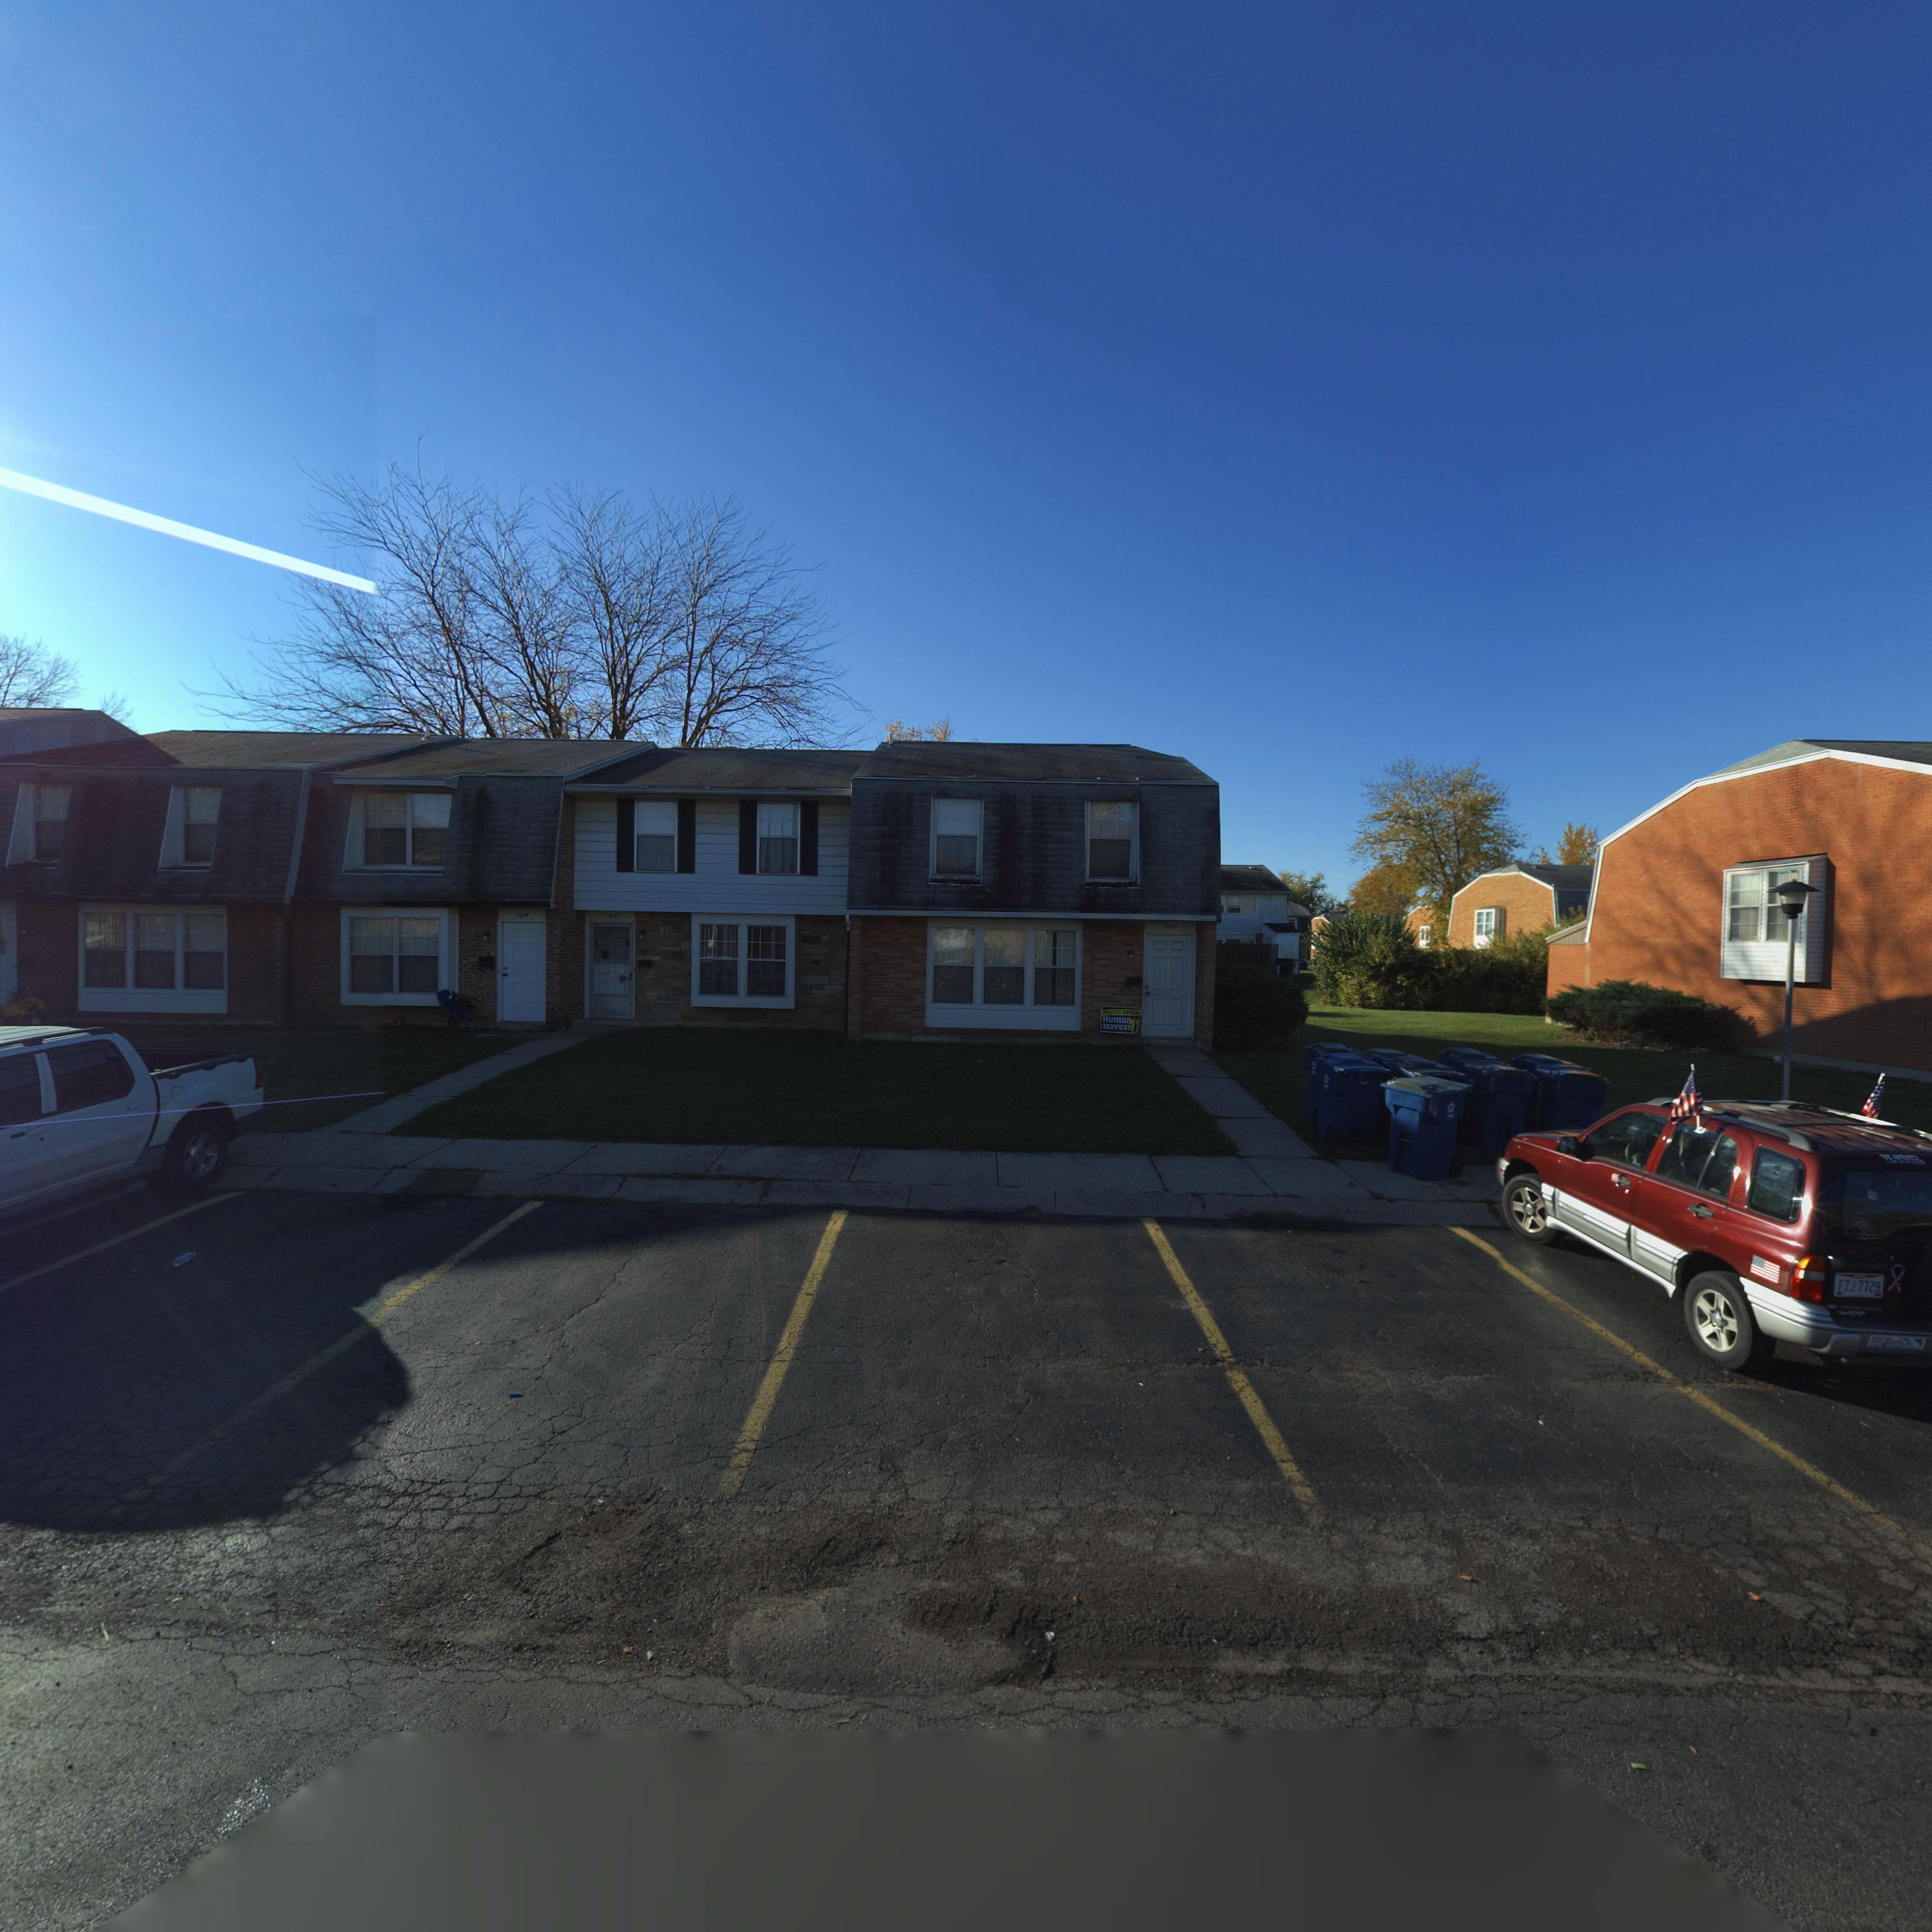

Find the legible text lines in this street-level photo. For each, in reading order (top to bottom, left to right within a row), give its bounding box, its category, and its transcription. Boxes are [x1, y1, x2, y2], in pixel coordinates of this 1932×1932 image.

[515, 912, 530, 918] StreetNumber: 7649
[606, 913, 619, 919] StreetNumber: 7651
[1162, 923, 1178, 929] StreetNumber: 7653